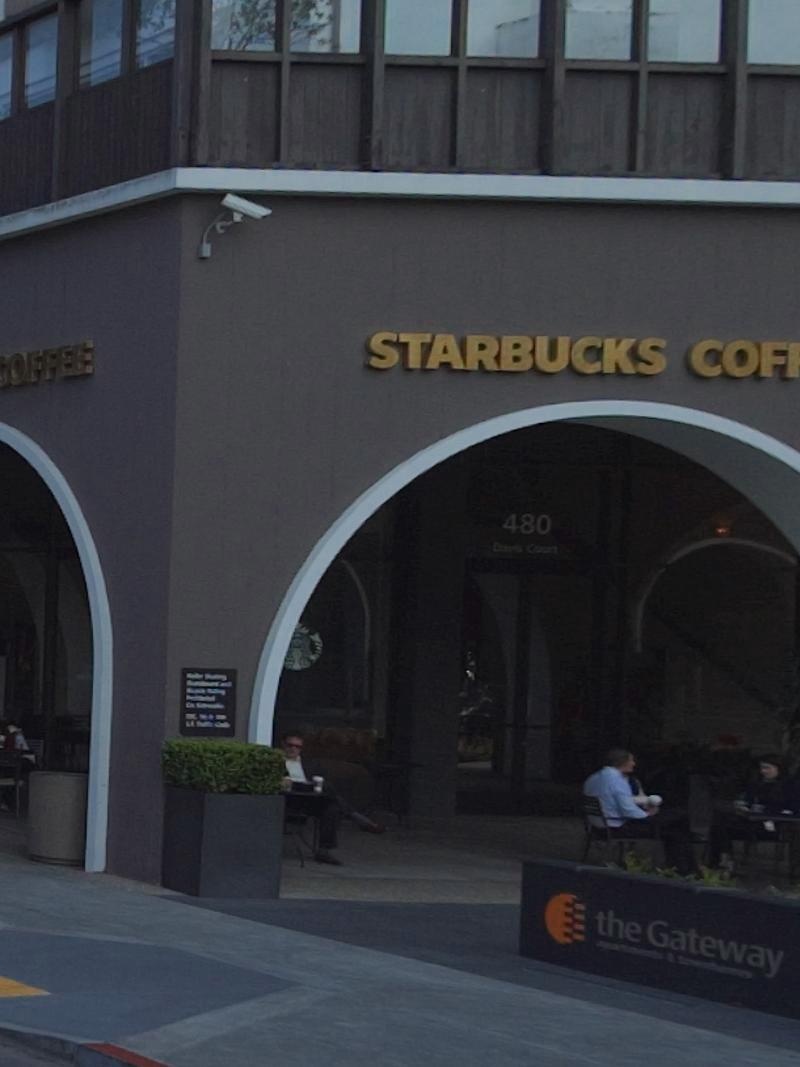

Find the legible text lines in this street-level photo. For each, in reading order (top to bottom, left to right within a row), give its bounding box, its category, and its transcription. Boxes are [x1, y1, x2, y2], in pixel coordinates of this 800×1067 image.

[6, 337, 95, 388] BusinessName: OFFEE
[366, 328, 791, 383] BusinessName: STARBUCKS COF
[499, 510, 551, 537] StreetNumber: 480
[592, 907, 787, 982] BusinessName: the Gateway